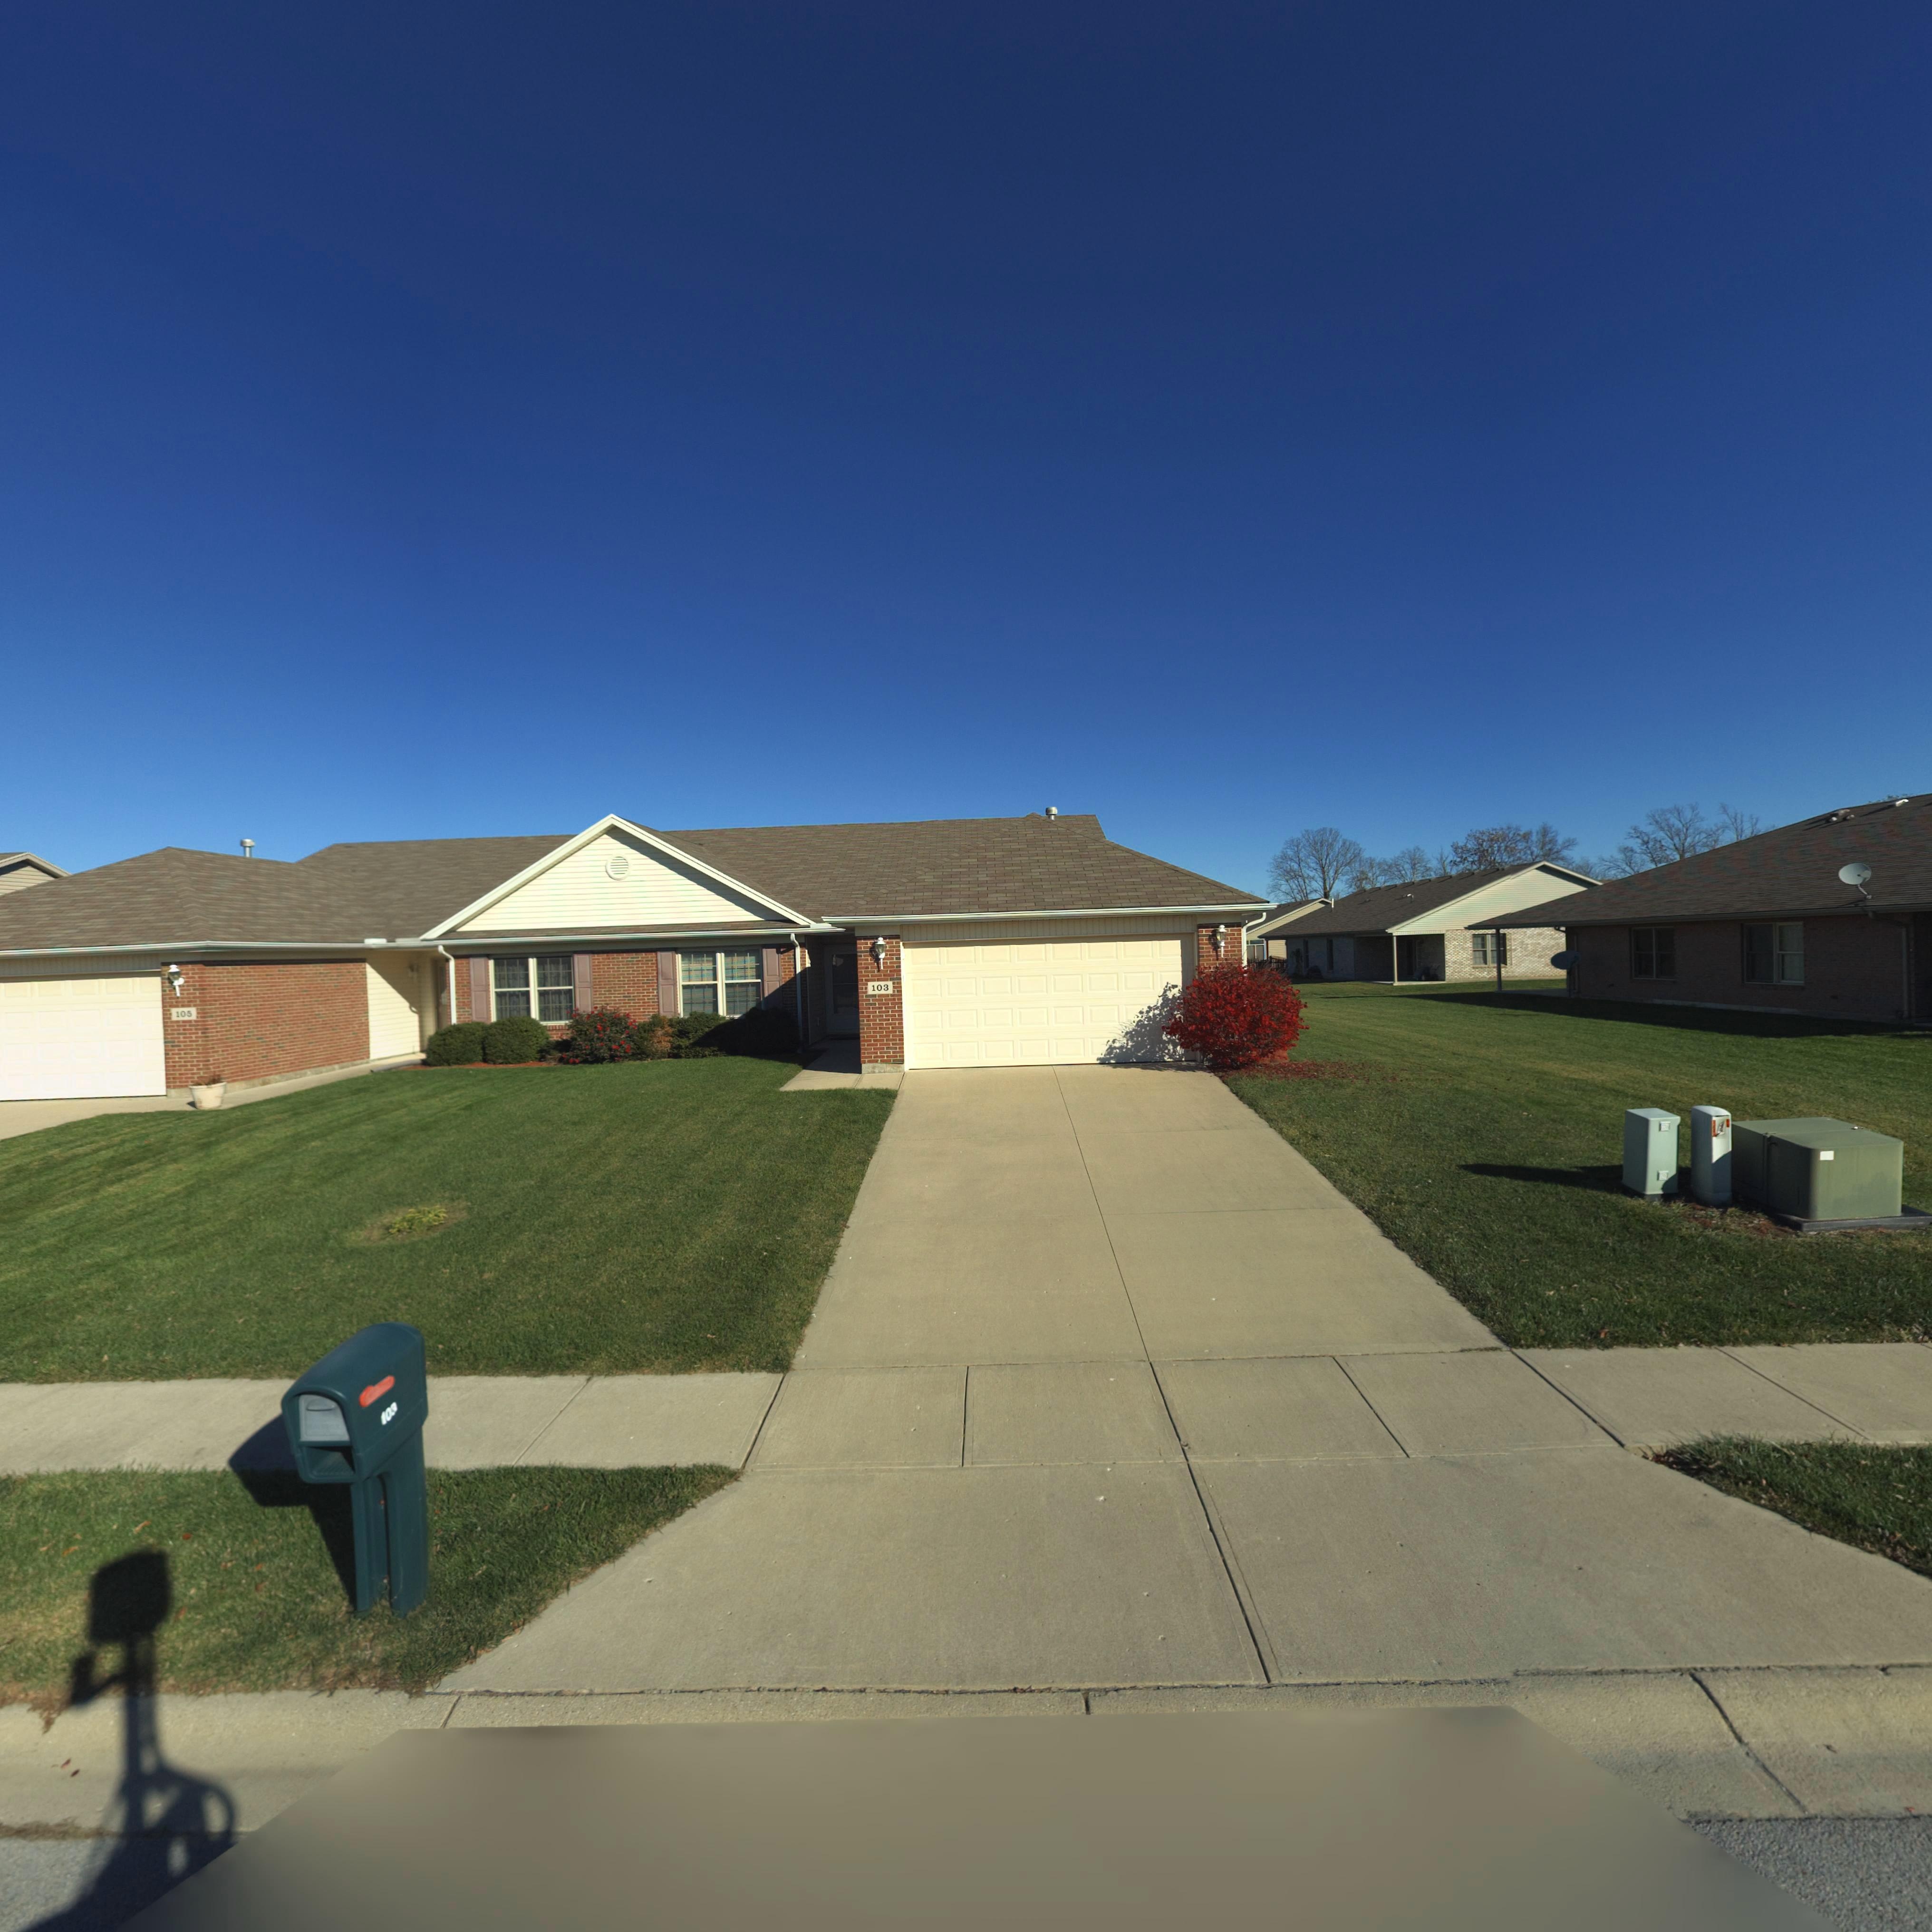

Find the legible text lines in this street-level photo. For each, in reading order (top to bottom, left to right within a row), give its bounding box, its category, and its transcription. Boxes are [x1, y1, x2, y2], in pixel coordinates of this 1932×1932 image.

[870, 983, 890, 992] StreetNumber: 103
[174, 1009, 193, 1019] StreetNumber: 105
[378, 1399, 401, 1427] StreetNumber: 10*